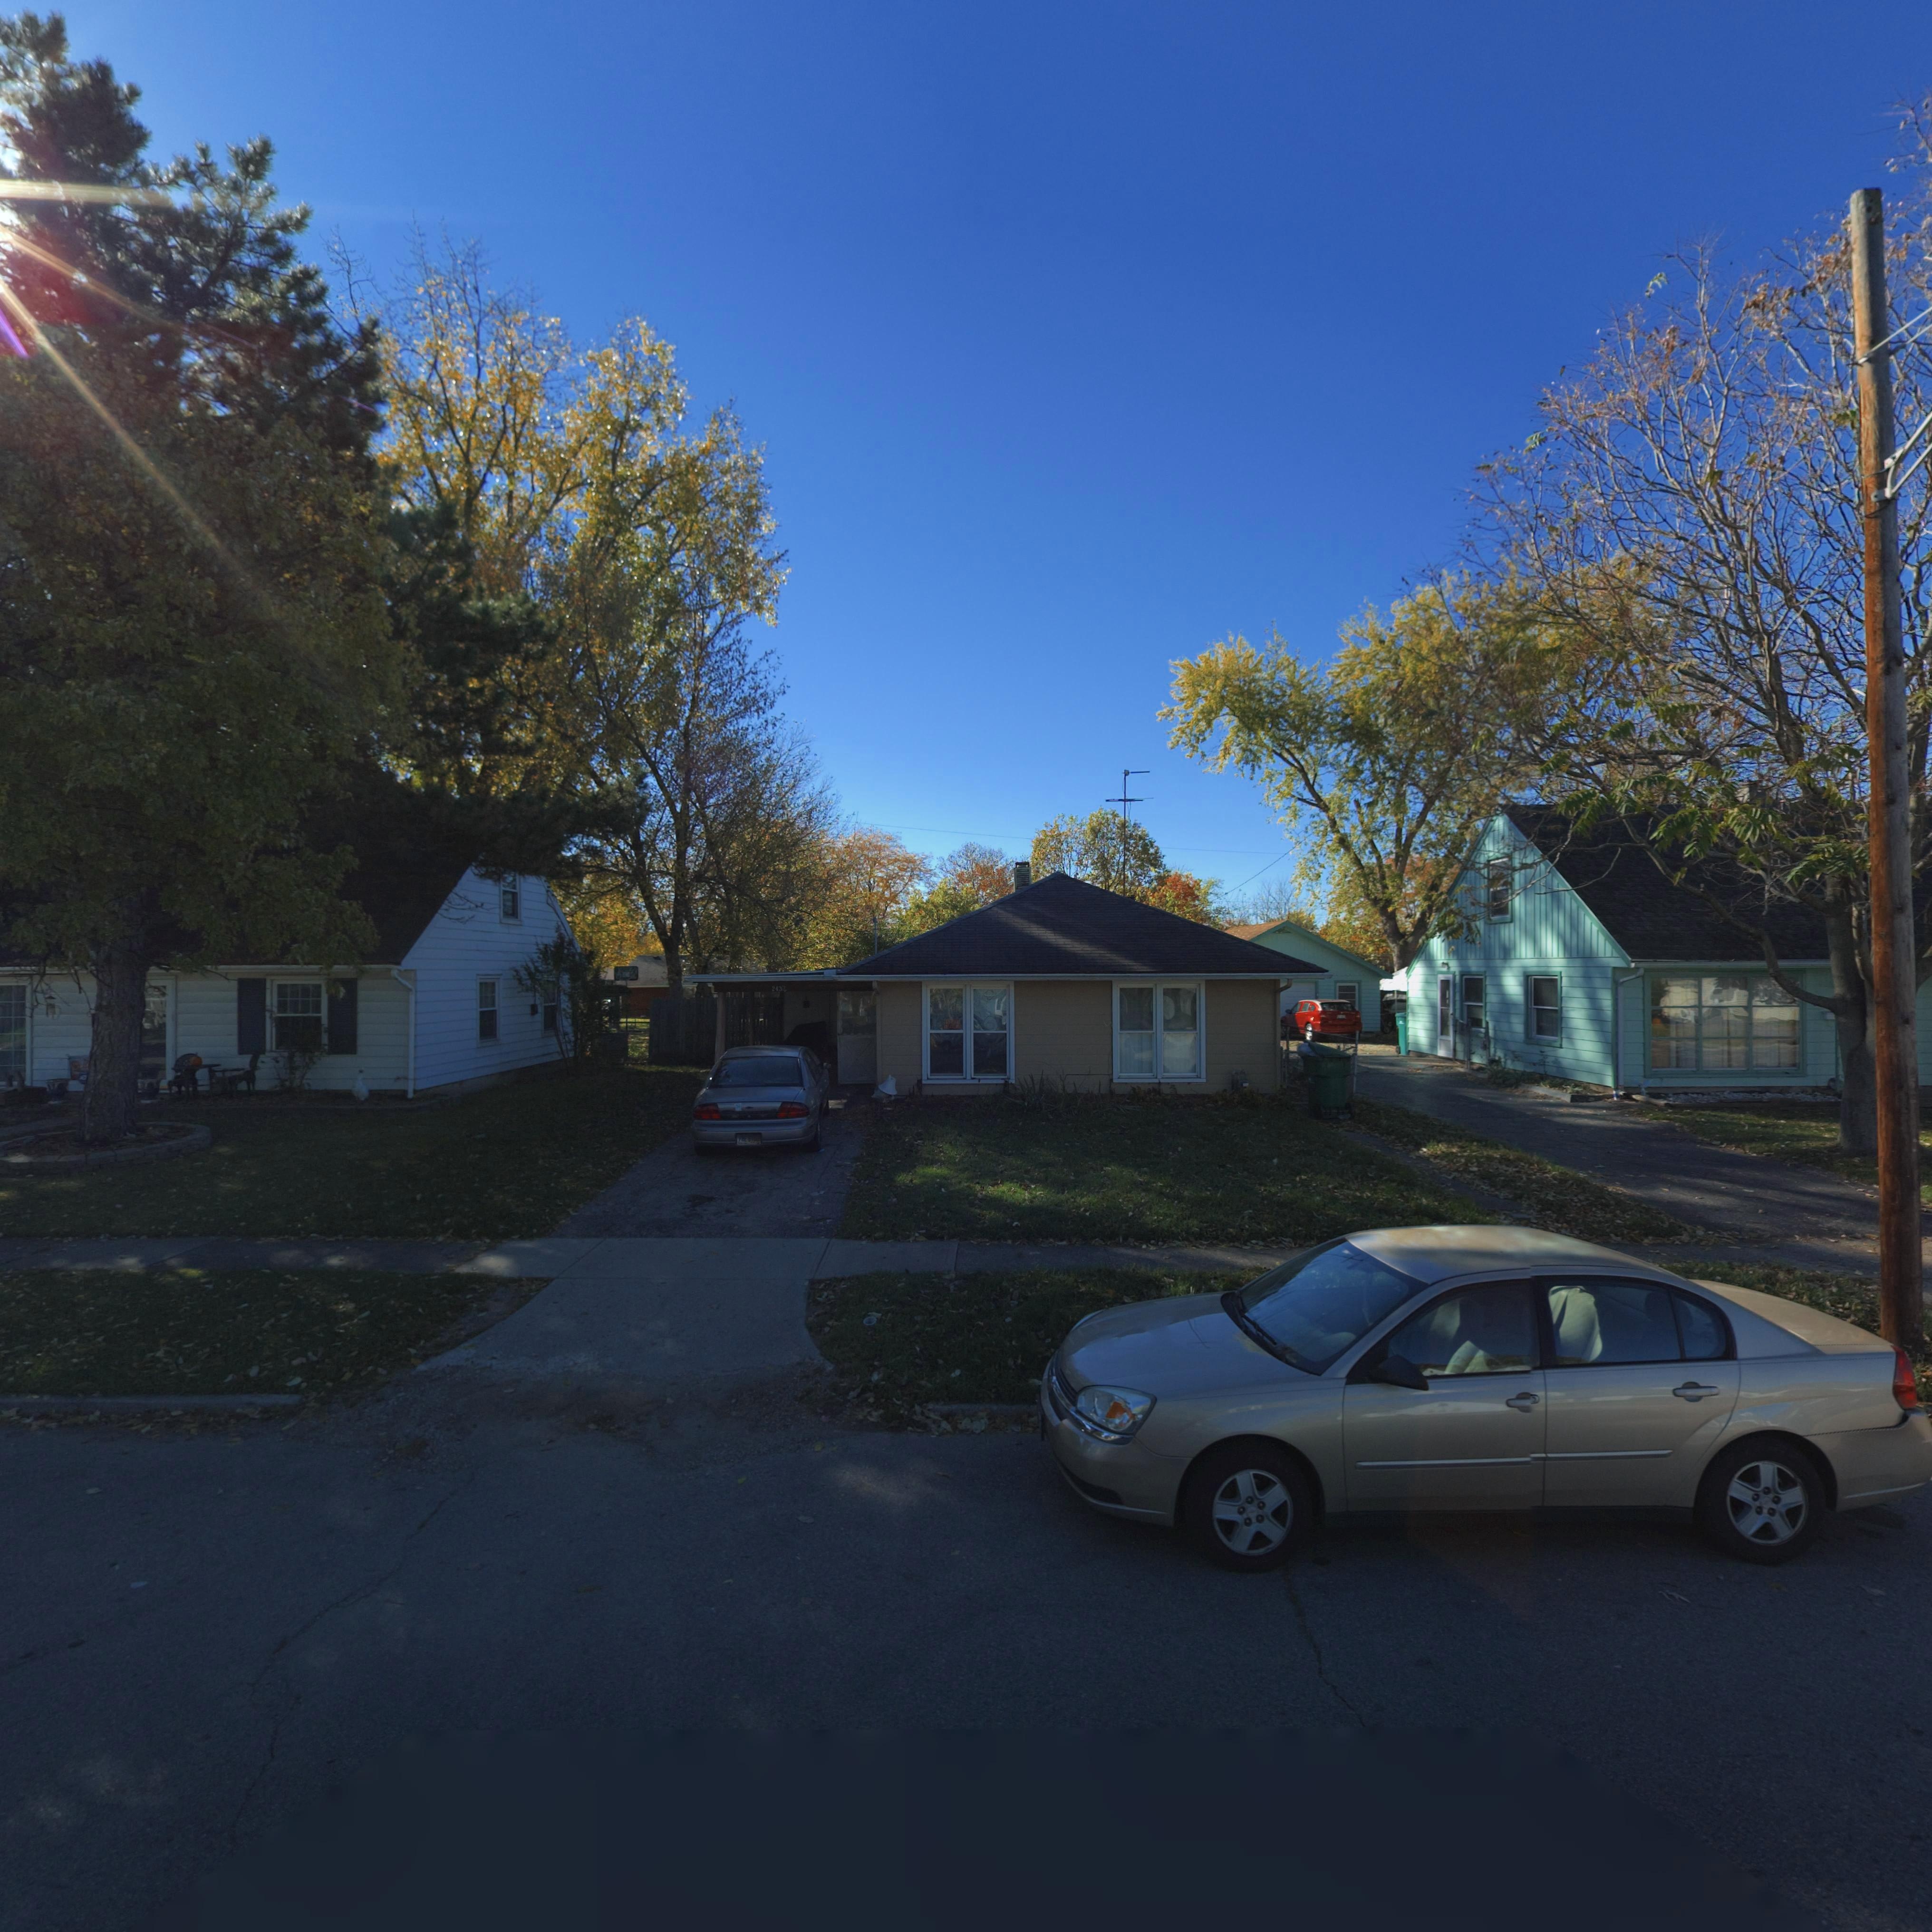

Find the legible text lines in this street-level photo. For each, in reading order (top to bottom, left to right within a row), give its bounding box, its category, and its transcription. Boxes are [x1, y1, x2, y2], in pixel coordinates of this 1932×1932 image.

[771, 985, 787, 992] StreetNumber: 2432